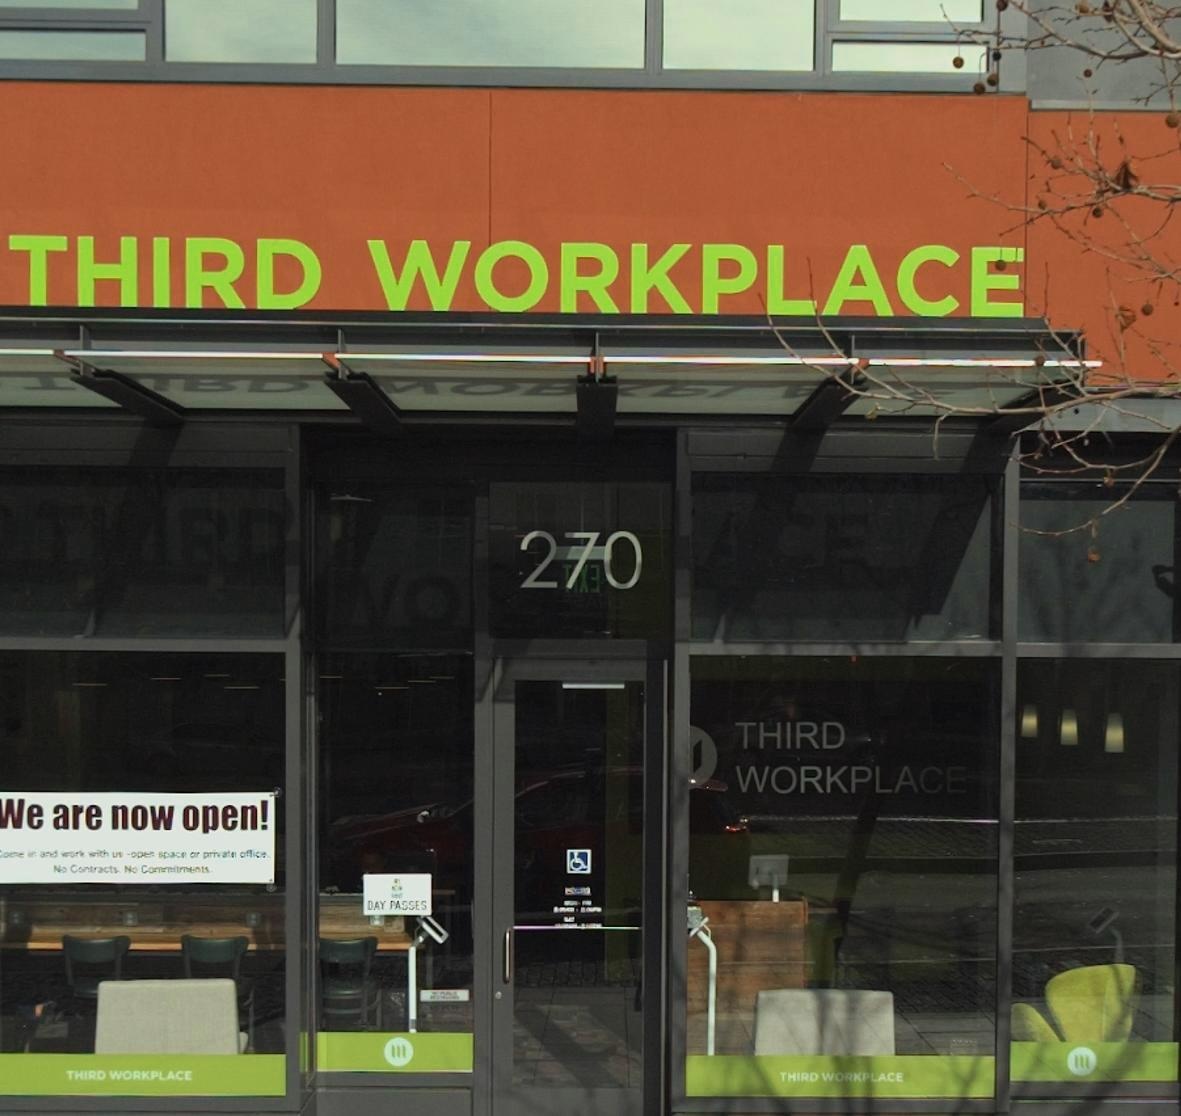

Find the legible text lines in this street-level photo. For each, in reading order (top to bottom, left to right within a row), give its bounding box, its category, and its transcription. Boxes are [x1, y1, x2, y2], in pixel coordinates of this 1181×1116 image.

[0, 223, 1033, 327] BusinessName: THIRD WORKPLACE
[444, 374, 526, 402] BusinessName: O
[175, 500, 291, 567] None: R*
[822, 507, 872, 571] None: E
[518, 529, 645, 592] StreetNumber: 270
[398, 568, 467, 634] None: O
[581, 593, 627, 612] None: AH*
[731, 718, 849, 752] BusinessName: THIRD
[729, 761, 972, 797] BusinessName: WORKPLACE
[25, 796, 272, 837] None: e are now open!
[50, 862, 216, 877] None: No Con****** No Co********
[365, 897, 430, 913] None: DAY PASSES
[60, 1067, 195, 1084] BusinessName: THIRD WORKPLACE
[776, 1069, 906, 1086] BusinessName: THIRD WORKPLACE